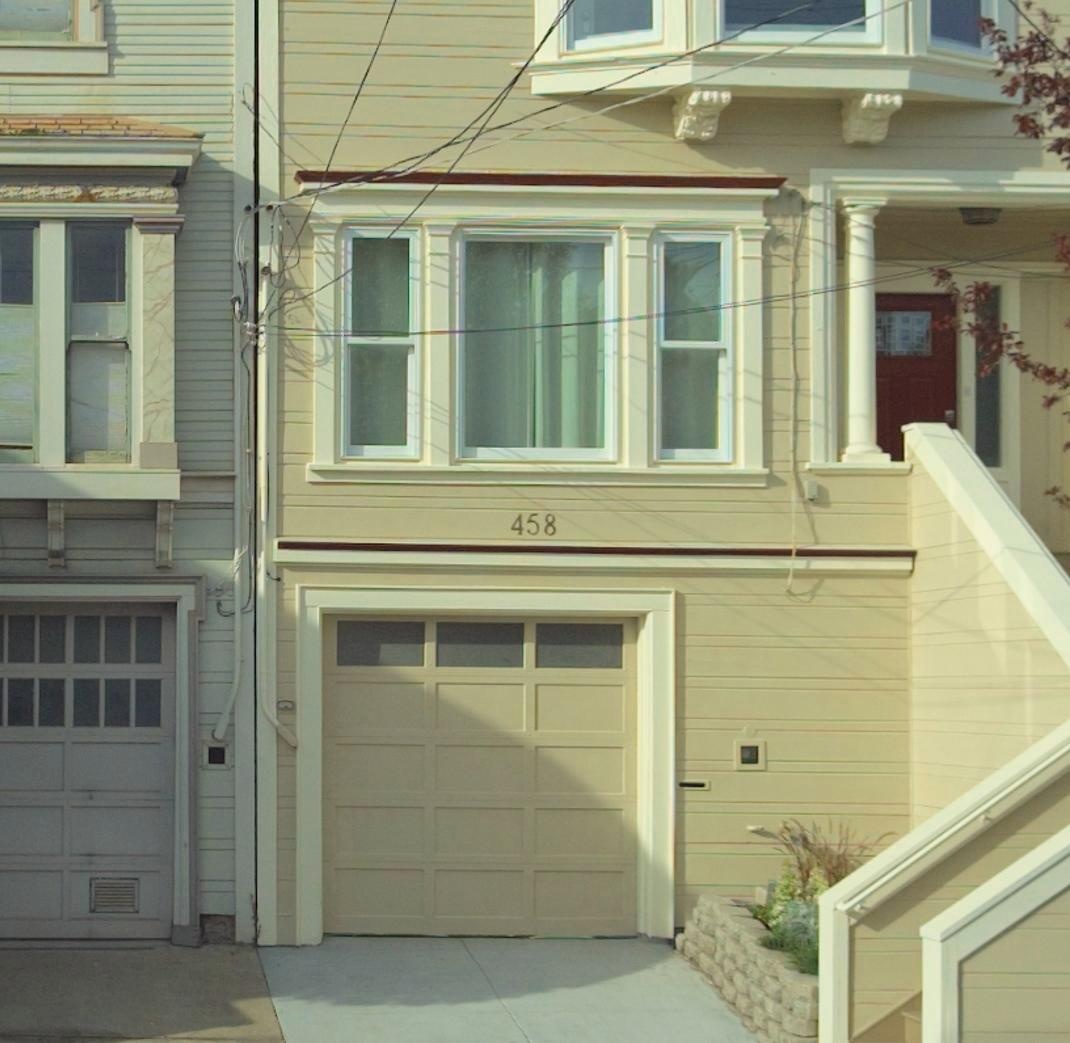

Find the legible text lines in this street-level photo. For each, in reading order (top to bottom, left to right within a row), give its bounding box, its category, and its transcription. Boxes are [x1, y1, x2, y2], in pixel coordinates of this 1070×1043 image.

[511, 513, 557, 537] StreetNumber: 458